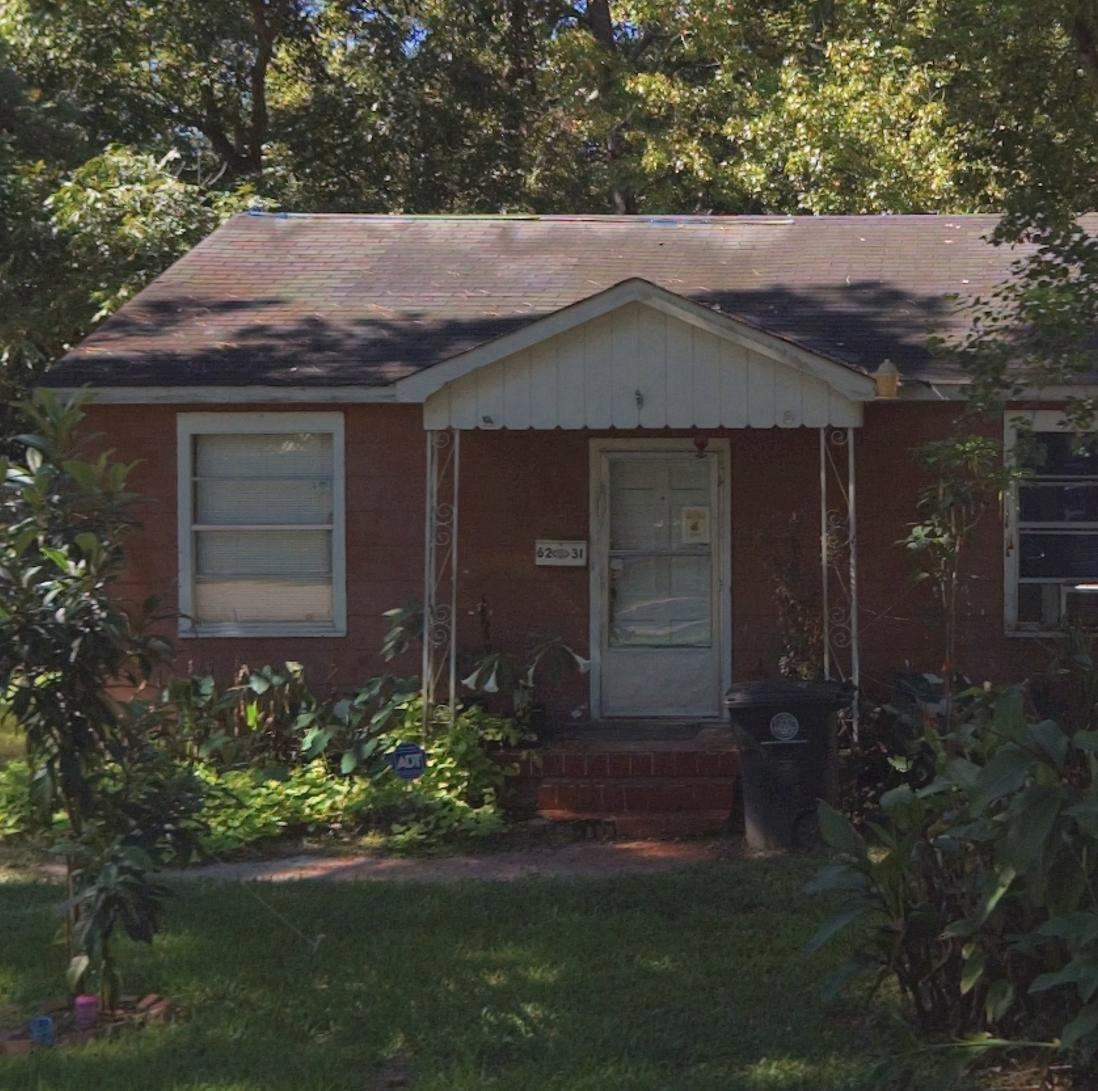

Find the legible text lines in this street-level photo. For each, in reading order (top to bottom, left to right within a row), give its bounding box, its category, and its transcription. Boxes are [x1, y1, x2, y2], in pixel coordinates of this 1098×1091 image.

[536, 547, 584, 559] StreetNumber: 62*31
[395, 753, 423, 771] None: ADT